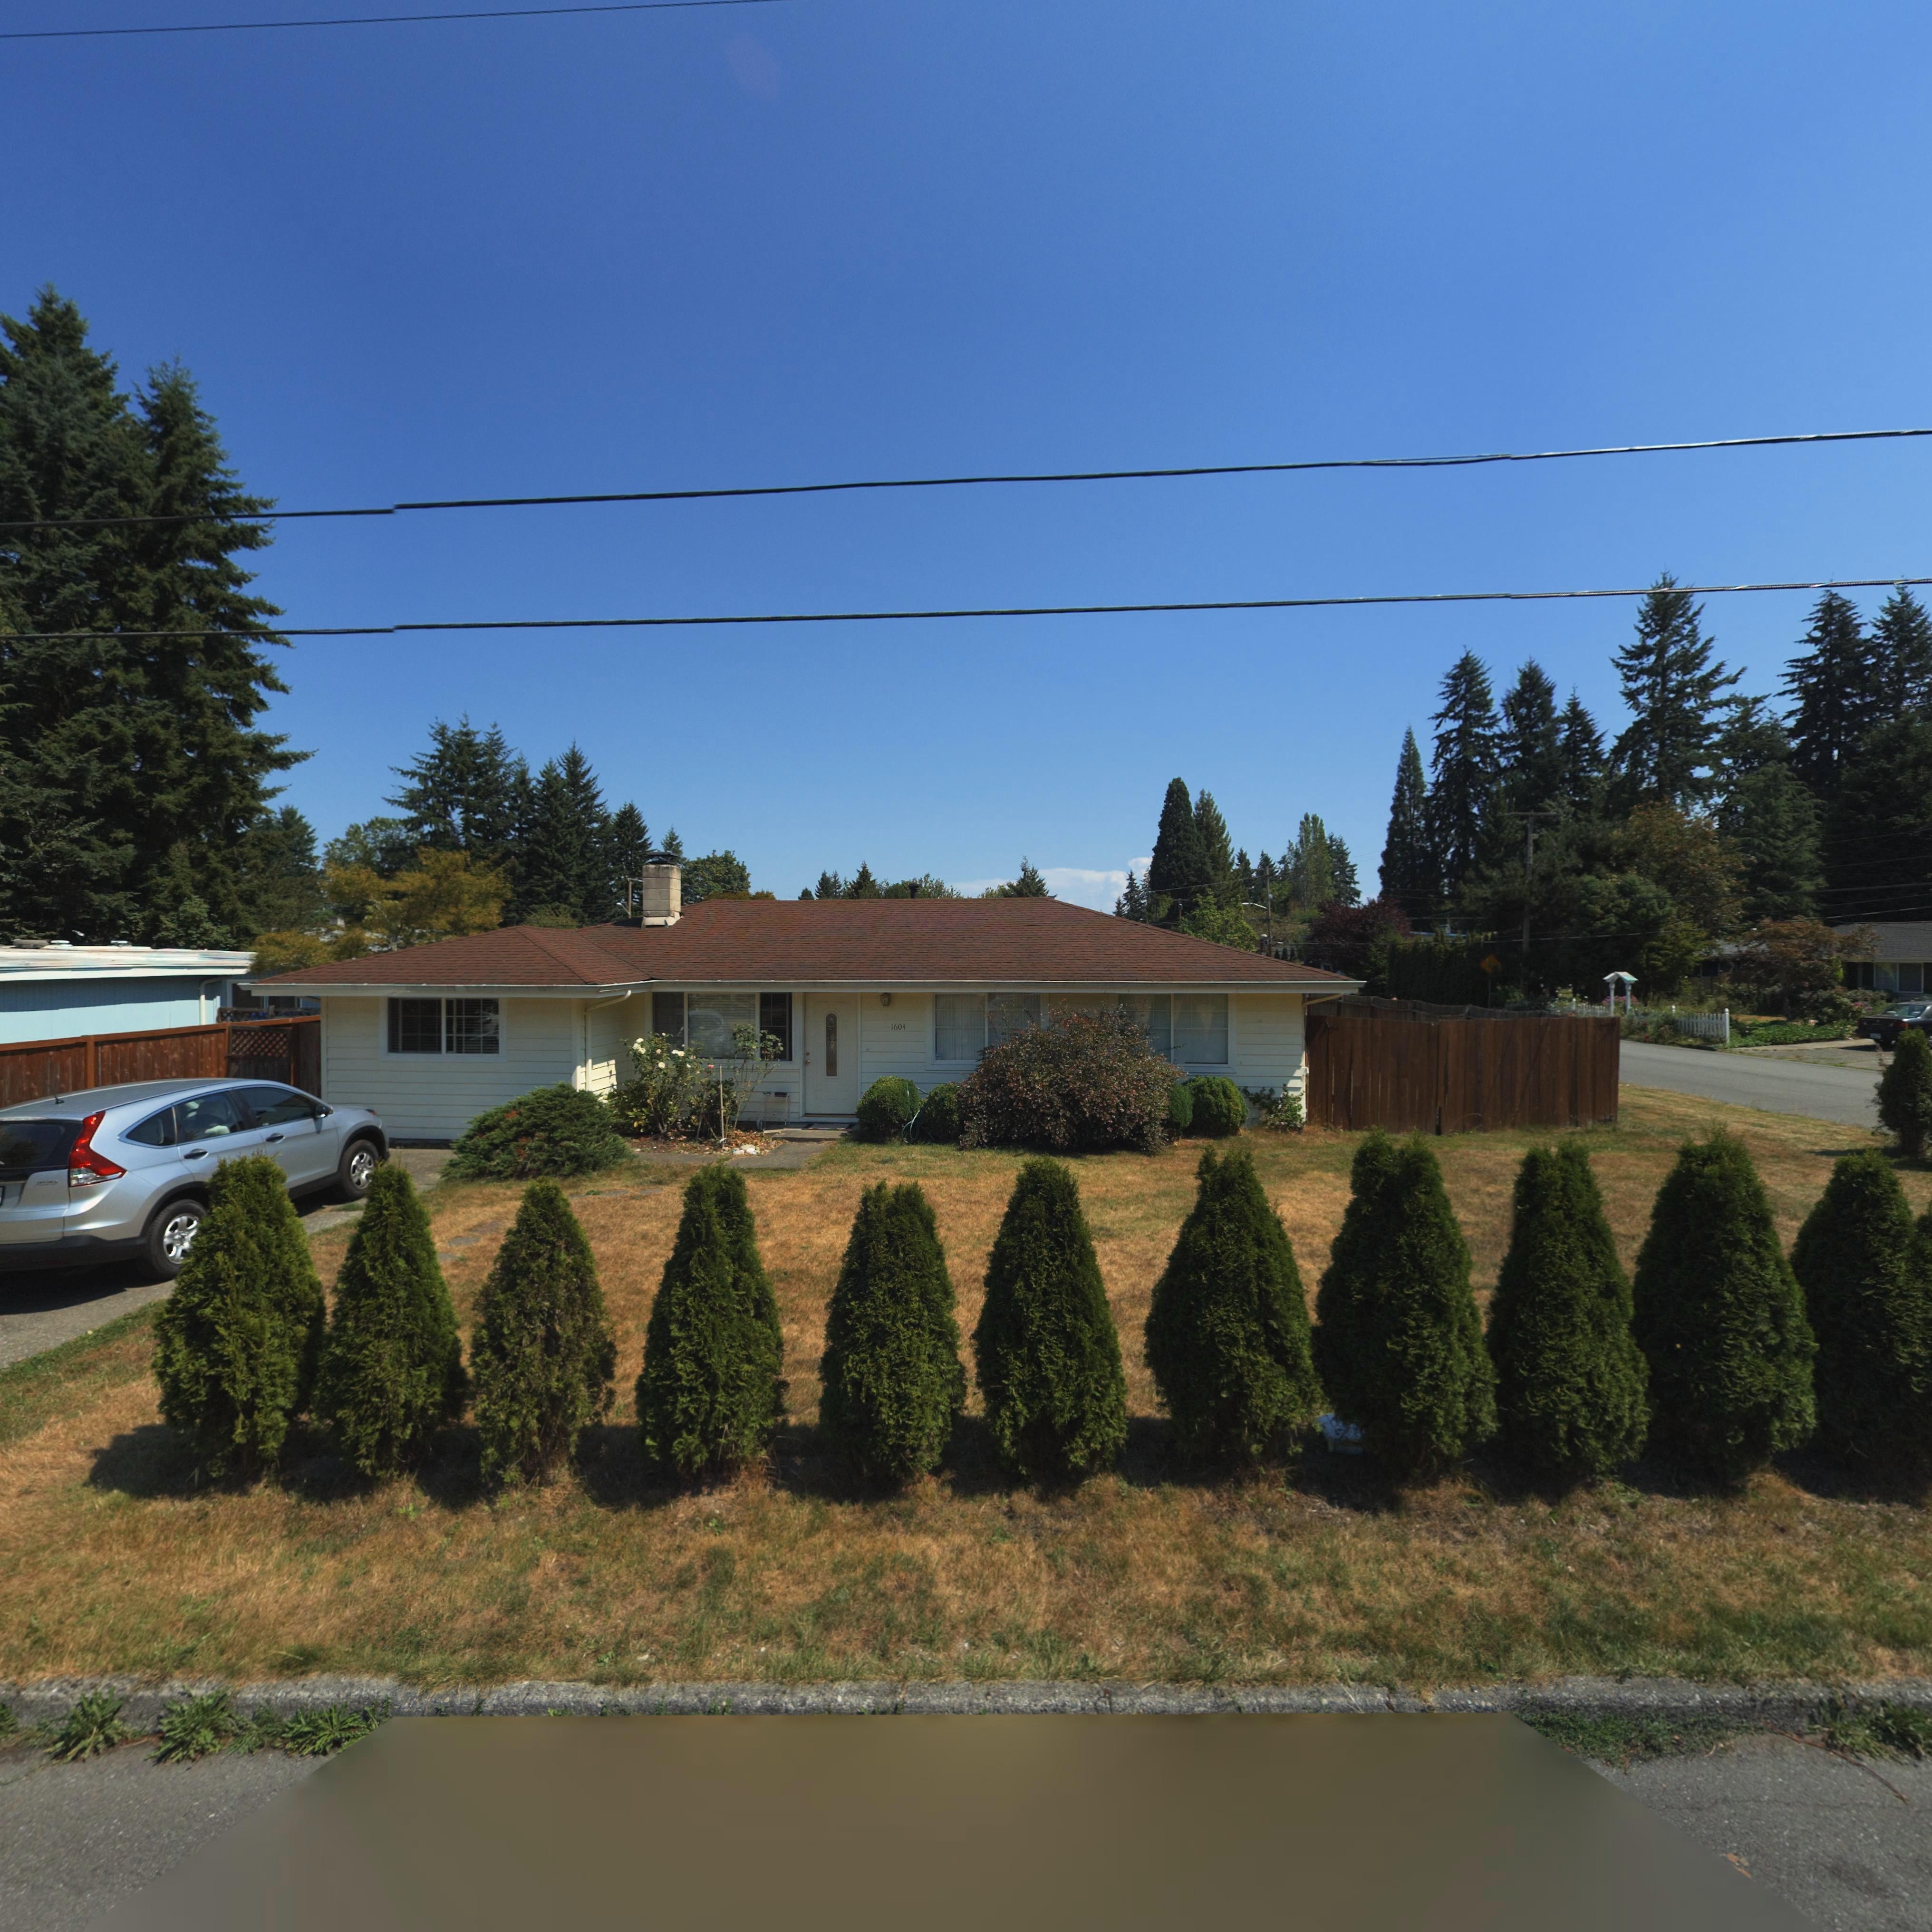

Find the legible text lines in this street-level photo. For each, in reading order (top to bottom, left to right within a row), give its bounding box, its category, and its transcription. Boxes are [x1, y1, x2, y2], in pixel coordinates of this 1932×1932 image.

[891, 1023, 906, 1031] StreetNumber: 1604